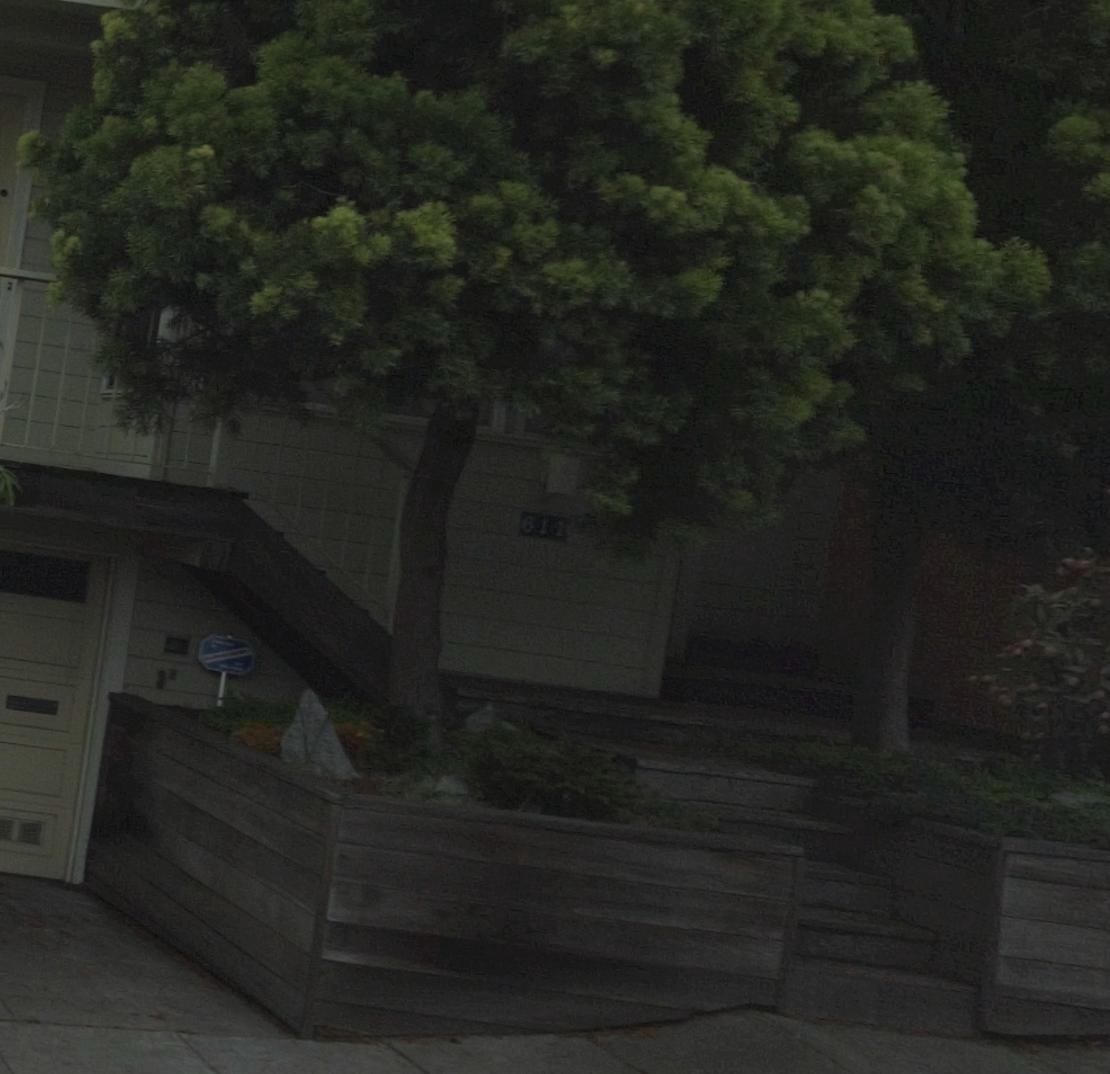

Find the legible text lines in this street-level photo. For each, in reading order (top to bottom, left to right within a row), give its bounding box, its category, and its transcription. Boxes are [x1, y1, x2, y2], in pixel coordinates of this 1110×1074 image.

[521, 513, 567, 539] StreetNumber: 611